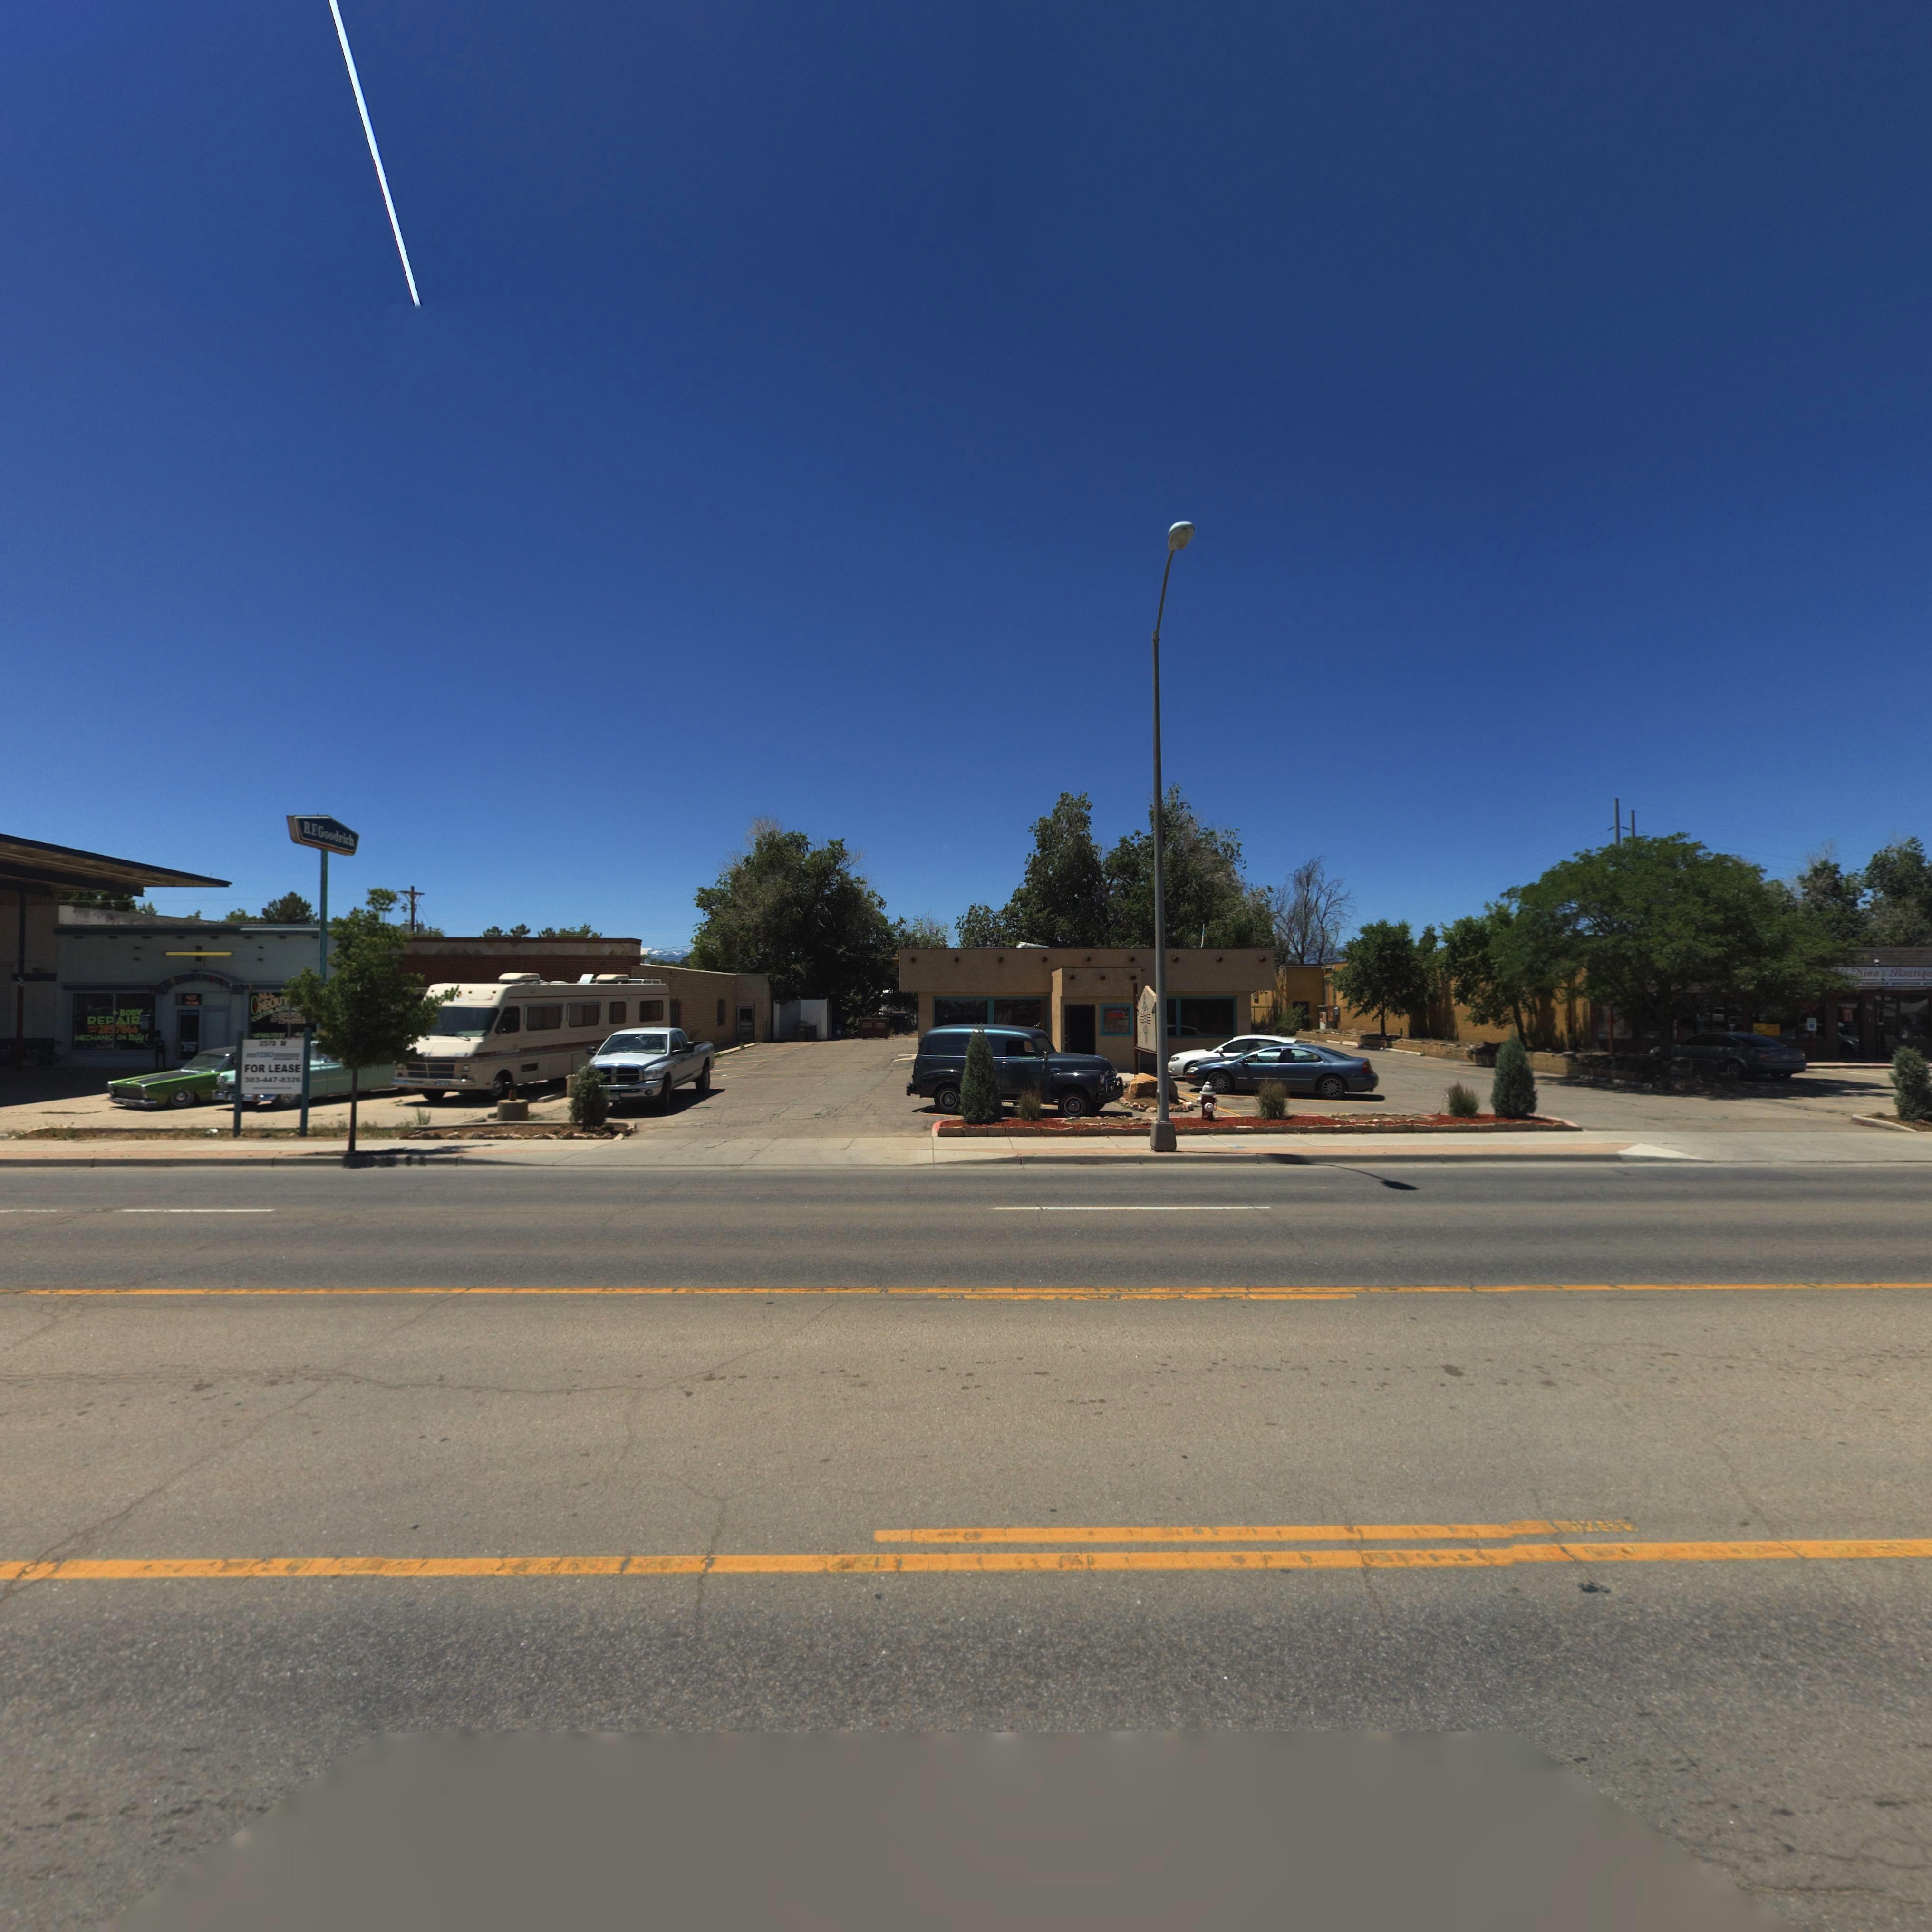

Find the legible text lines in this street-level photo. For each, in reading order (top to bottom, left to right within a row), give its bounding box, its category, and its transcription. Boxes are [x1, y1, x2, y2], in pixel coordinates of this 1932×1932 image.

[303, 819, 354, 847] BusinessName: B.F. Goodrich
[1840, 967, 1926, 979] BusinessName: ** Nina's Bo*tiq
[185, 994, 193, 1001] StreetNumber: 4*
[193, 994, 197, 1000] StreetName: s
[258, 992, 275, 1002] BusinessName: ALL
[185, 1001, 199, 1005] StreetName: M***
[258, 995, 289, 1013] BusinessName: ABOU*